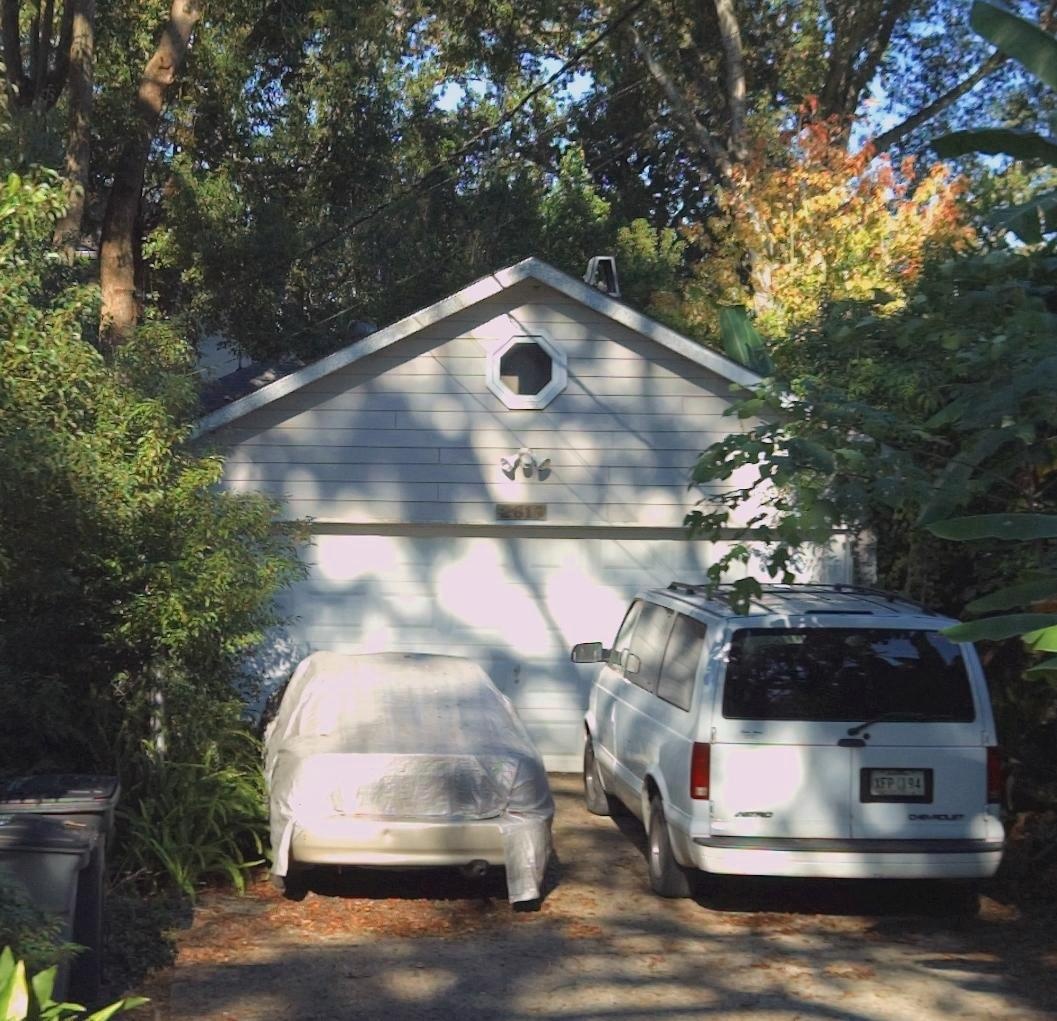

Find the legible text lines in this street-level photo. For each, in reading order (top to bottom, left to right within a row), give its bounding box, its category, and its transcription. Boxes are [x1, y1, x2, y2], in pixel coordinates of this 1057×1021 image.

[499, 504, 546, 521] StreetNumber: 2619
[872, 775, 924, 792] None: XFP *94
[730, 809, 777, 820] None: ASTRO
[906, 811, 966, 823] None: CHEVROLET